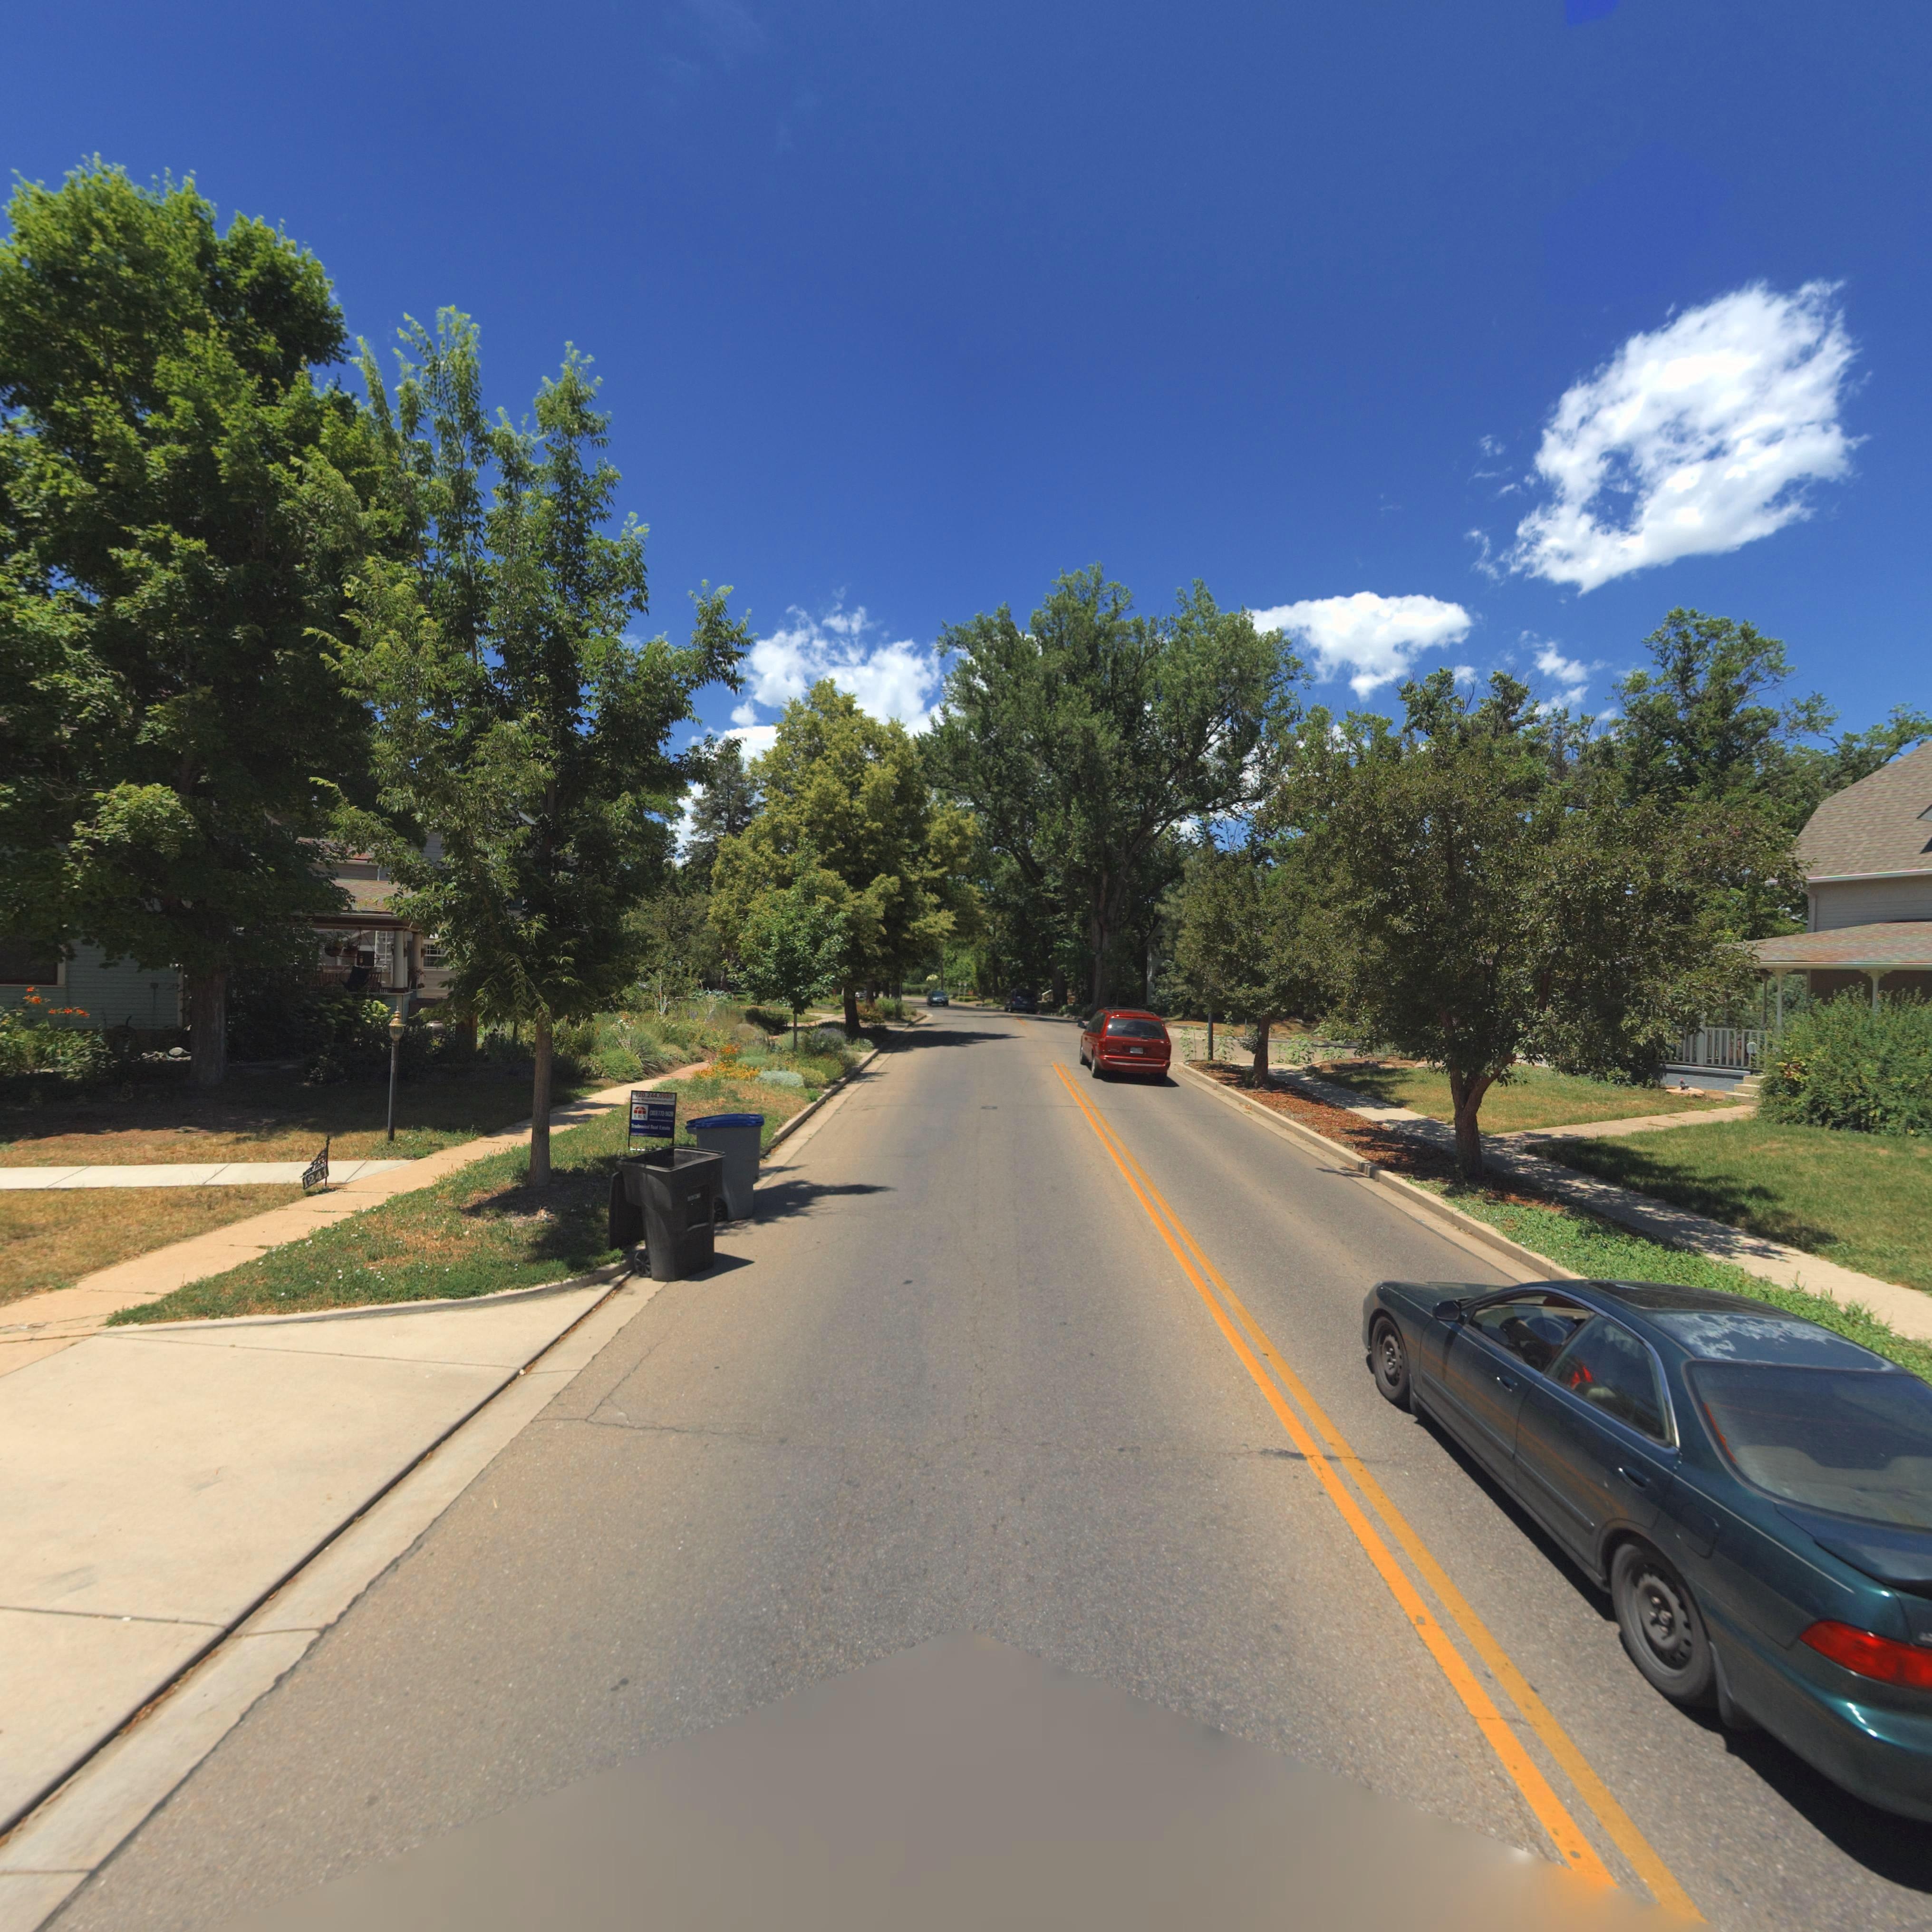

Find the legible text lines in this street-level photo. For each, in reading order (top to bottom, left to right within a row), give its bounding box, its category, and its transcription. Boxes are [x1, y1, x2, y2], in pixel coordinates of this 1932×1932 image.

[303, 1167, 327, 1189] StreetNumber: 1241